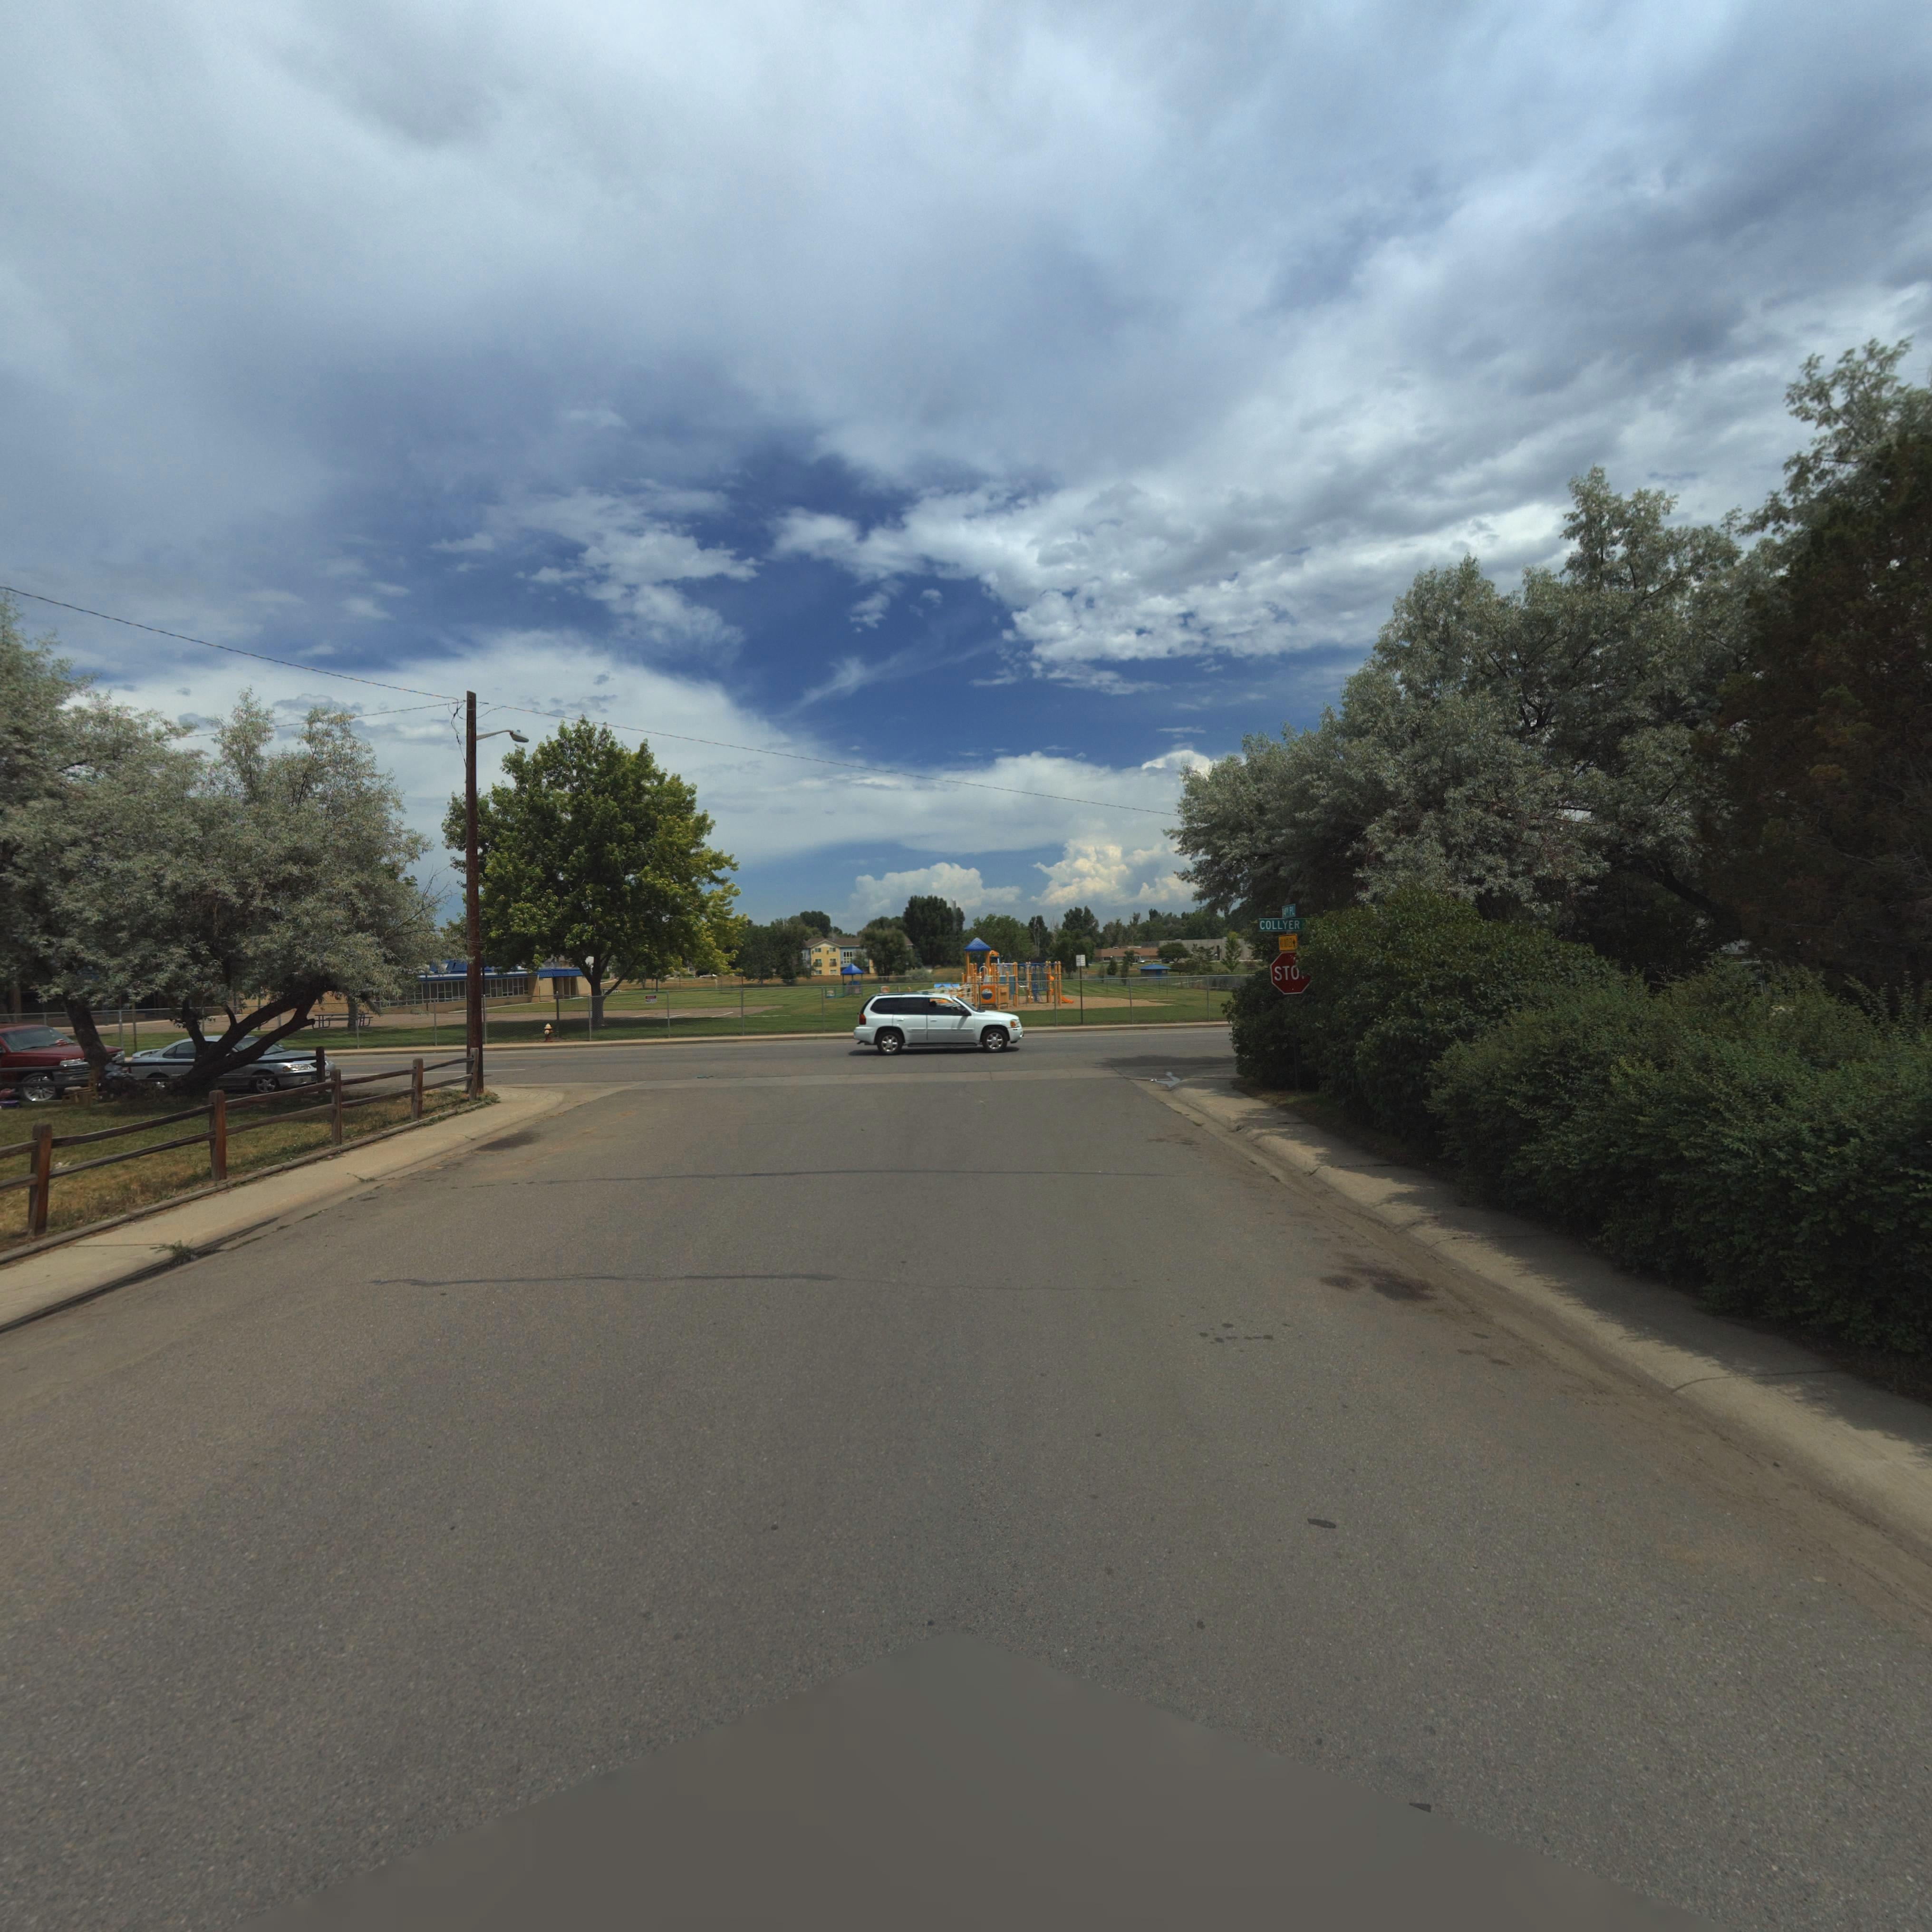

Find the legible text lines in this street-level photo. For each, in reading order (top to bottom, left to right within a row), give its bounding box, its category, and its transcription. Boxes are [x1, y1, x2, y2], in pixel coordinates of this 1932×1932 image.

[1282, 905, 1295, 917] StreetName: 14** PL
[1259, 920, 1300, 930] StreetName: COLLYER